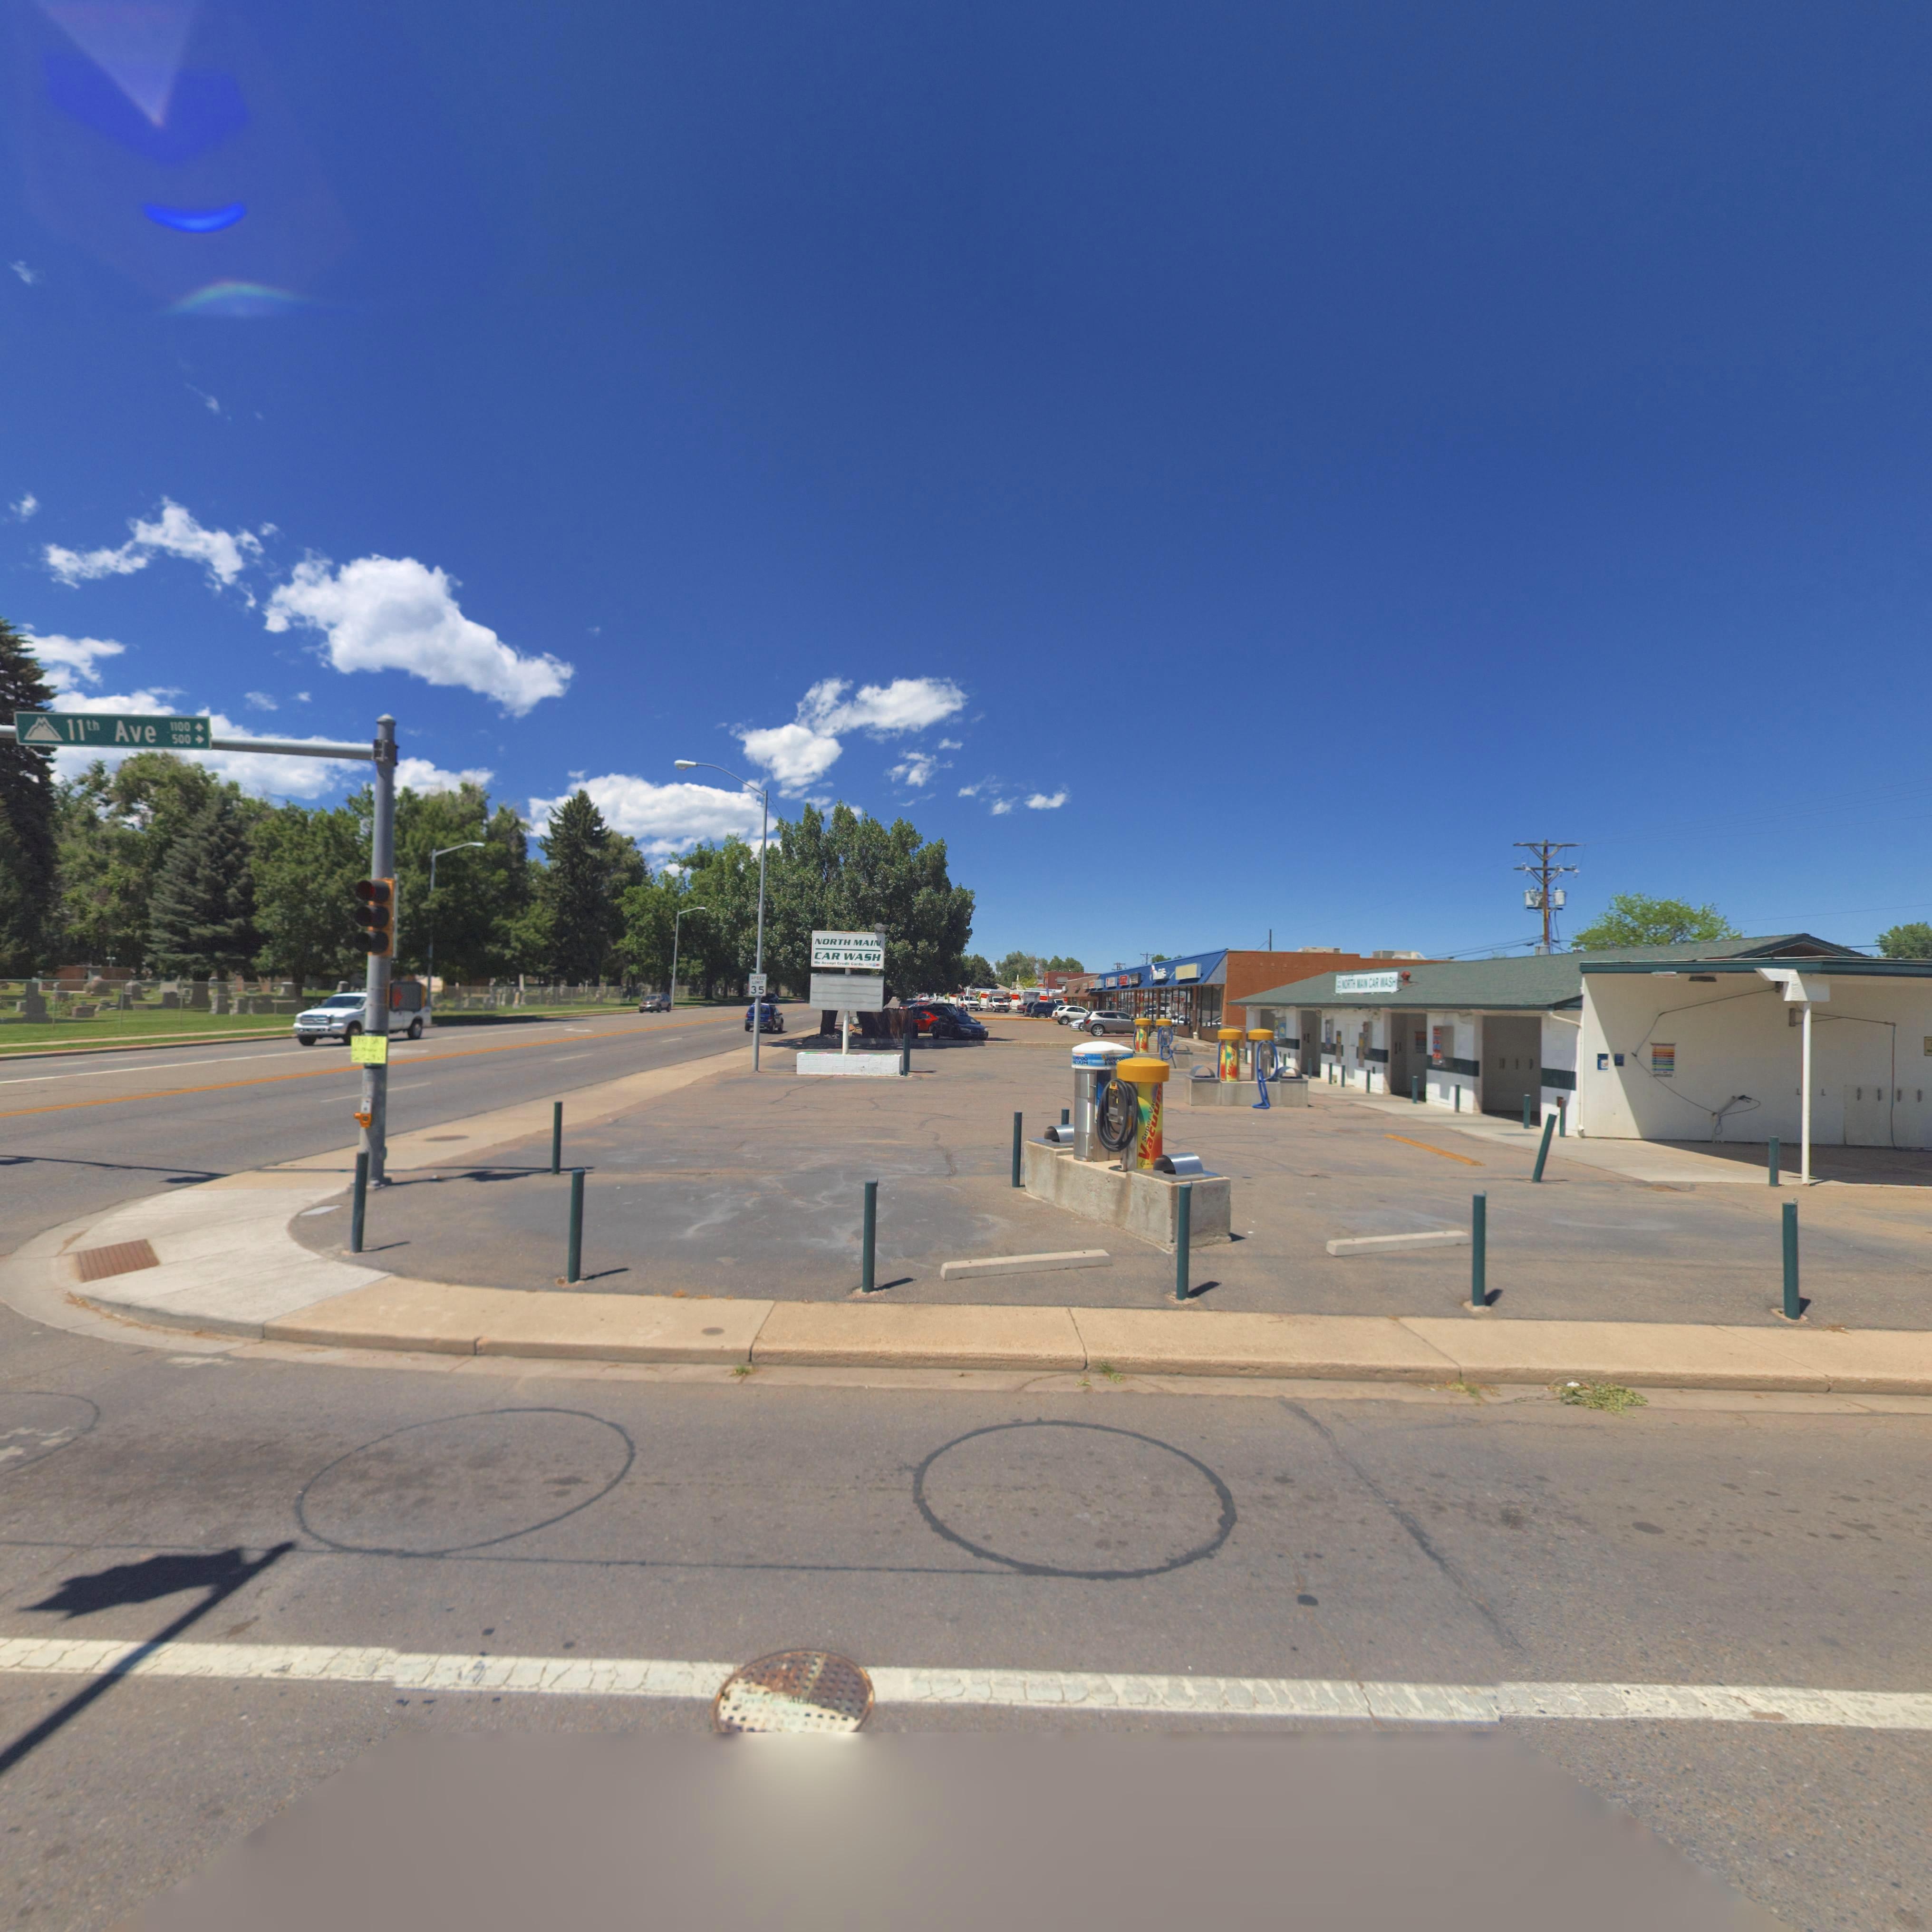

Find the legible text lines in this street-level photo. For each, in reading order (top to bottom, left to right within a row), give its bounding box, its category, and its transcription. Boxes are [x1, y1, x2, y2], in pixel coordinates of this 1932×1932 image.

[66, 717, 157, 744] StreetName: 11th Ave
[169, 721, 192, 732] StreetNumberRange: 1100
[171, 733, 204, 744] StreetNumberRange: 500->
[814, 937, 882, 947] BusinessName: NORTH MAIN
[814, 951, 882, 962] BusinessName: CAR WASH
[1342, 976, 1396, 989] BusinessName: *OR*H **** CAR *ASH